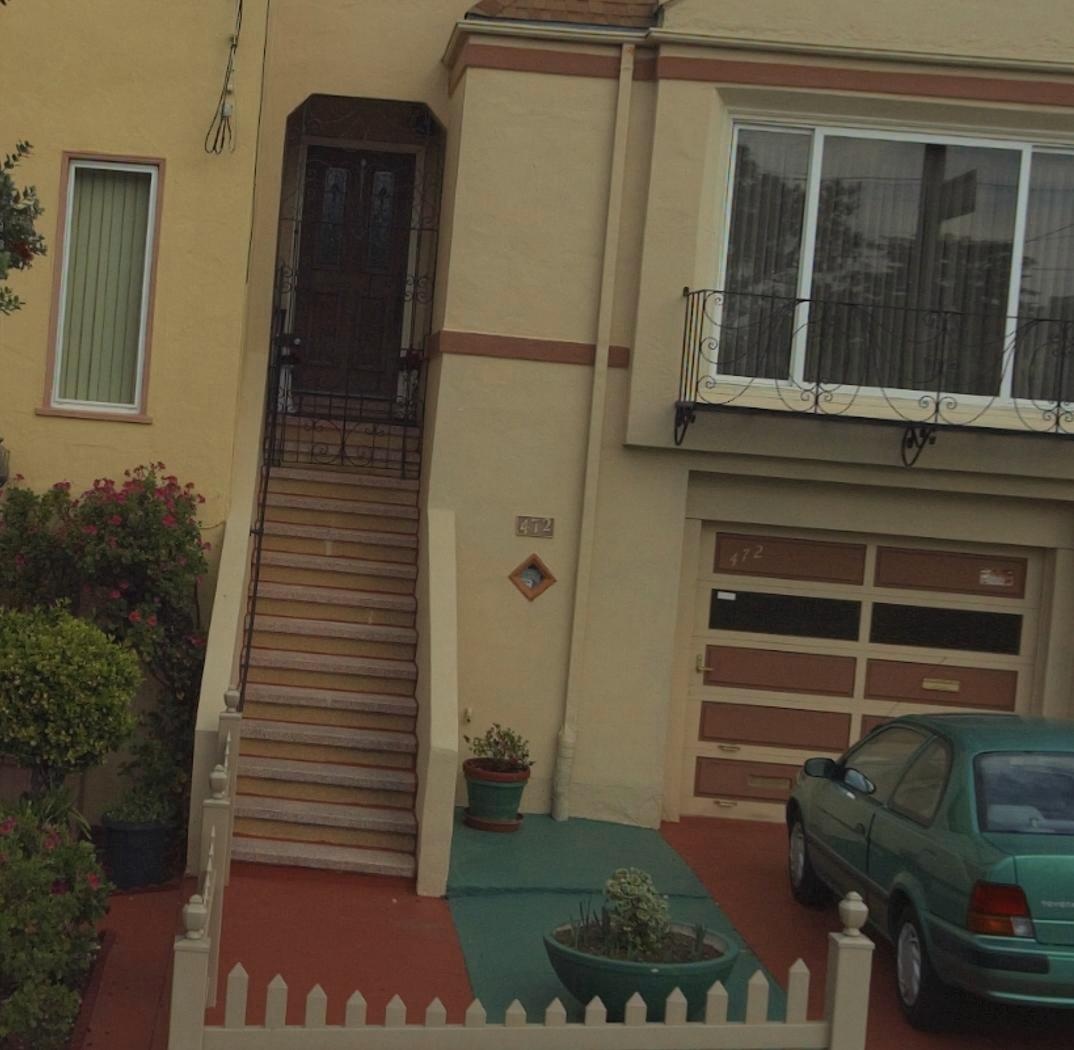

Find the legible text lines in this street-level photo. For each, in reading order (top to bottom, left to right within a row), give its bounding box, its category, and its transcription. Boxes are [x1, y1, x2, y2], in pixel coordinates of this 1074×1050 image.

[519, 517, 552, 536] StreetNumber: 472
[729, 542, 764, 568] StreetNumber: 472